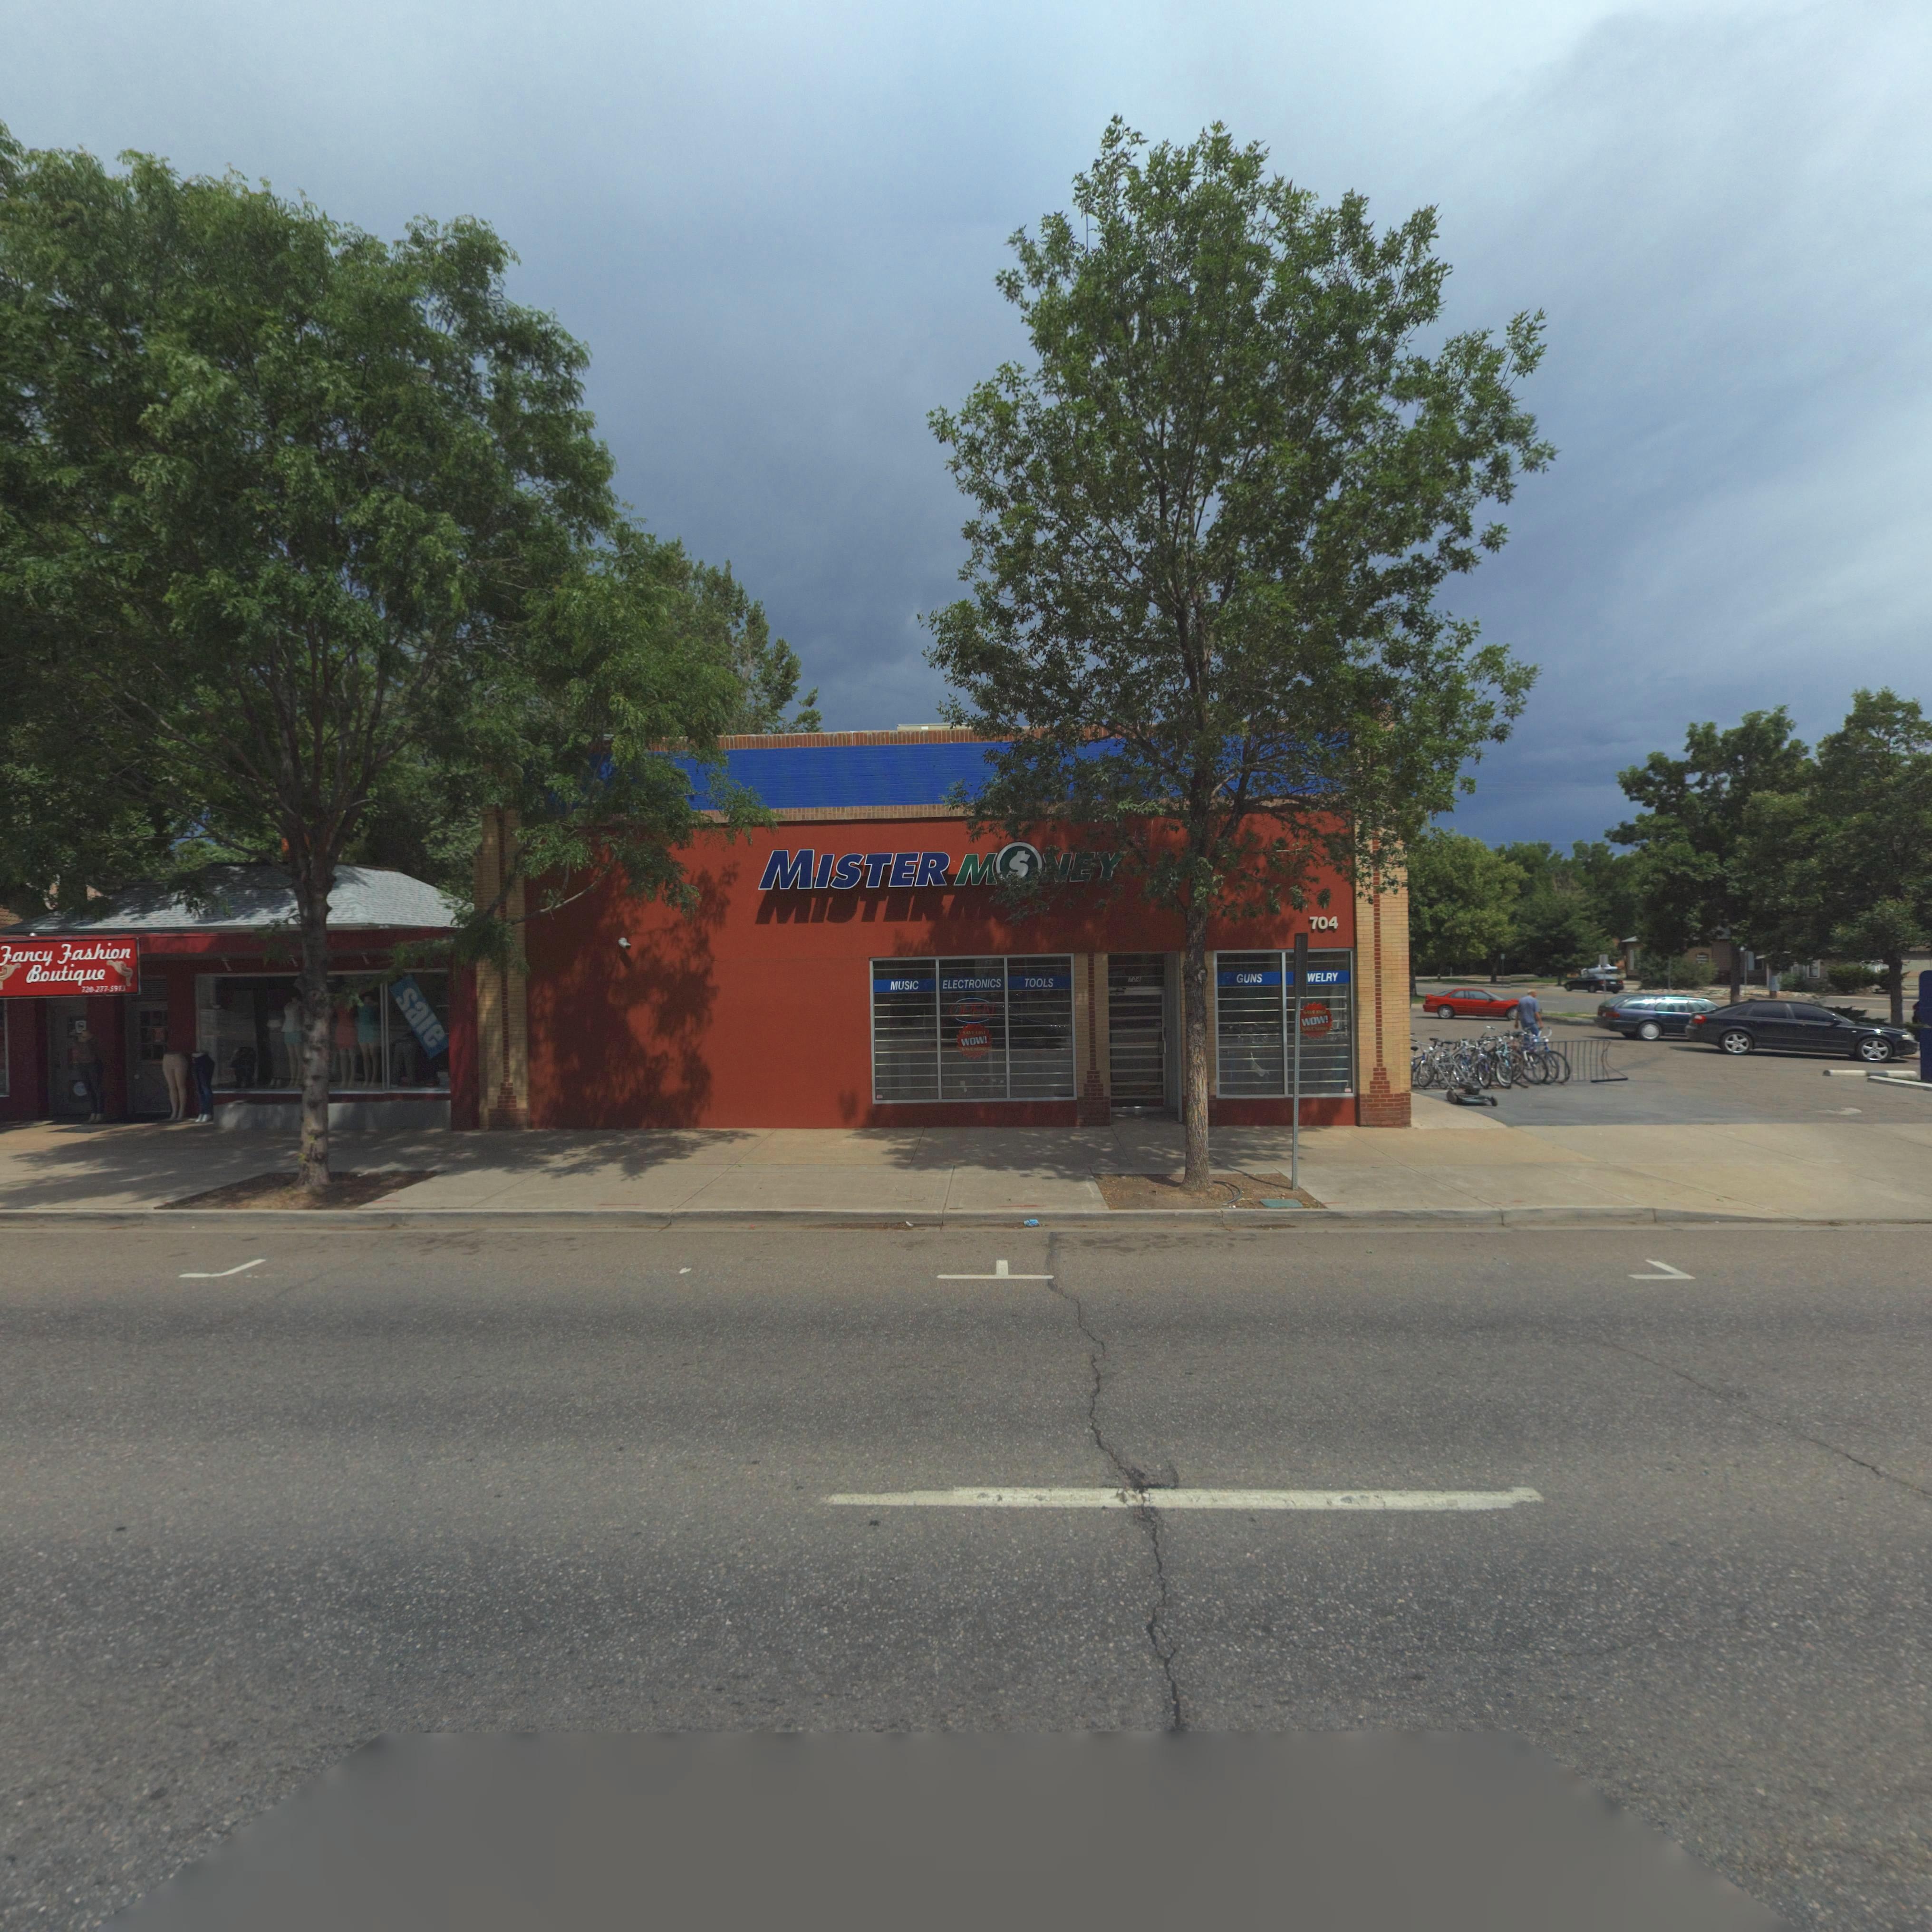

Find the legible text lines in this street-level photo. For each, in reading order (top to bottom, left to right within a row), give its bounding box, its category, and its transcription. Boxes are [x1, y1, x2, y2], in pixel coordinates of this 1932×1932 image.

[757, 849, 1129, 890] BusinessName: MISTER M*NEY
[1309, 915, 1338, 929] StreetNumber: 704
[0, 941, 133, 967] BusinessName: Fancy Fashion
[25, 963, 106, 986] BusinessName: Boutique
[1129, 976, 1140, 981] StreetNumber: 704